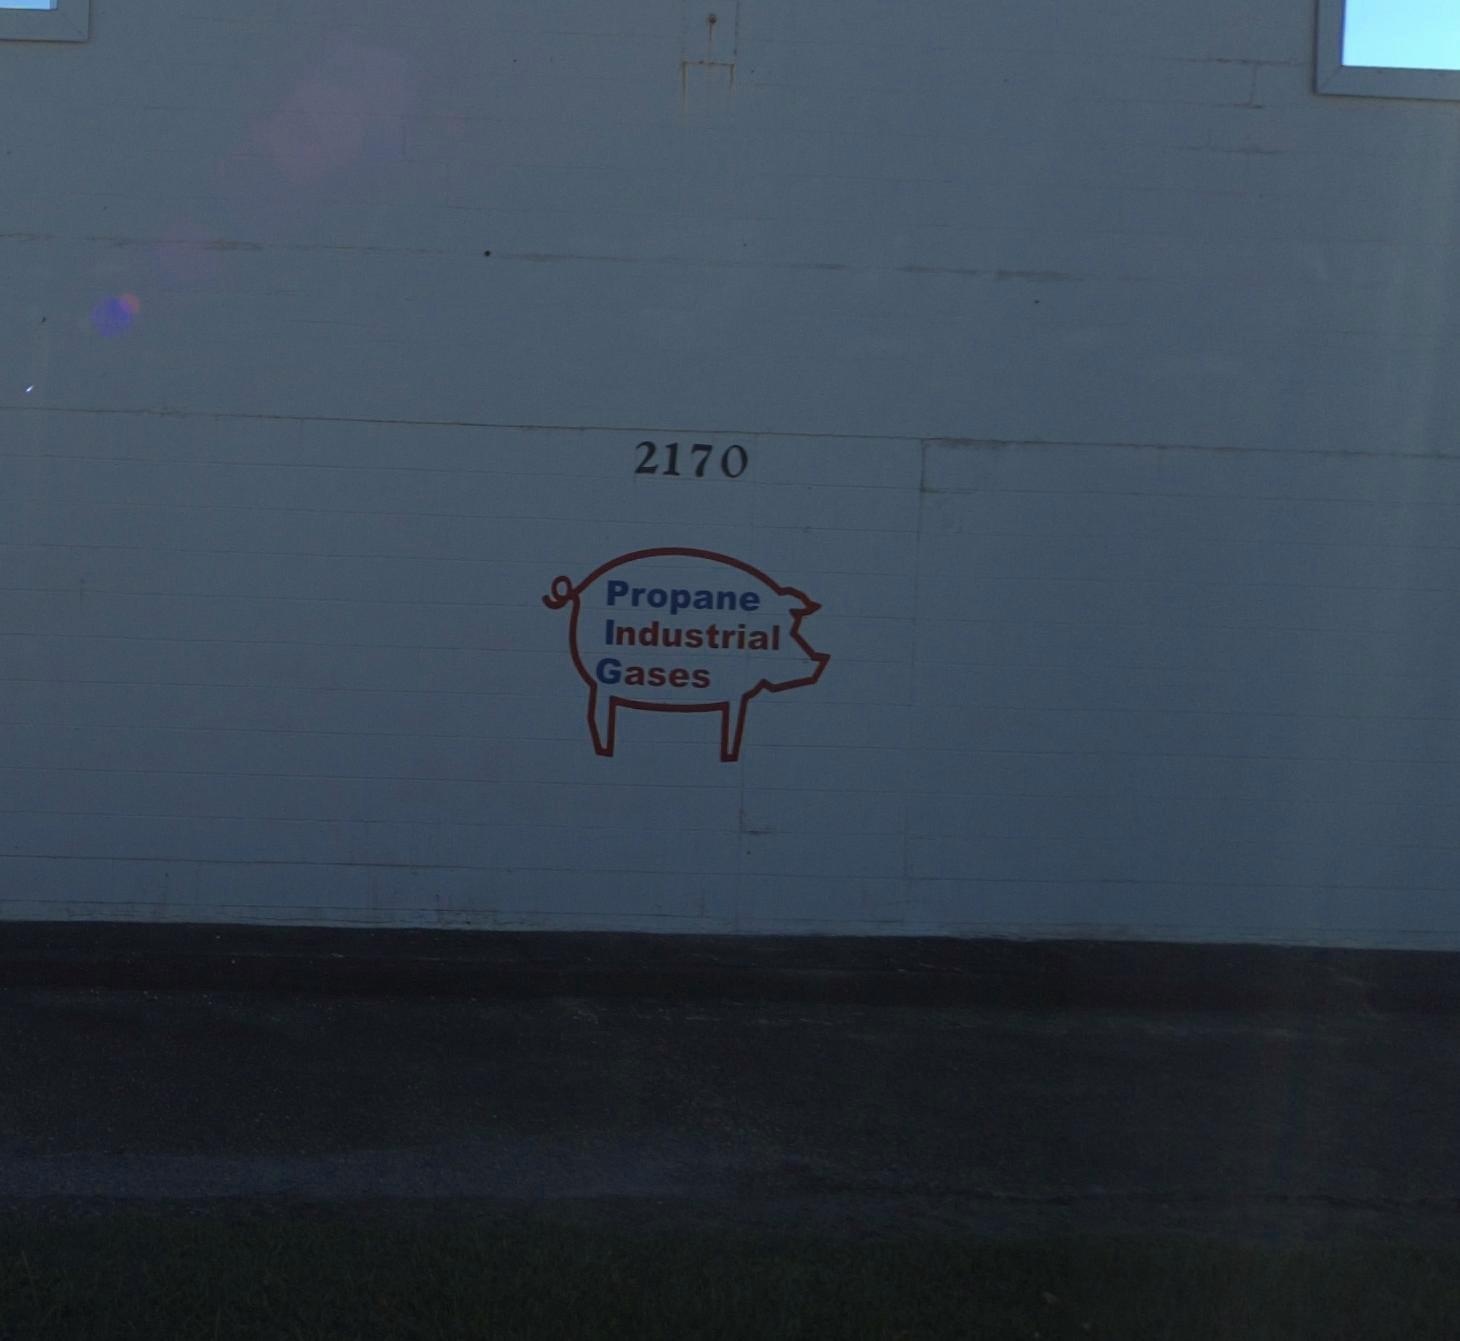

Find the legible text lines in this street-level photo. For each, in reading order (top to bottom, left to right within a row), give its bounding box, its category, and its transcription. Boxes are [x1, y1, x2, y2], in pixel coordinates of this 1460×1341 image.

[630, 438, 752, 481] StreetNumber: 2170
[604, 576, 765, 619] BusinessName: Propane
[602, 616, 783, 654] BusinessName: Industrial
[592, 655, 714, 691] BusinessName: Gases